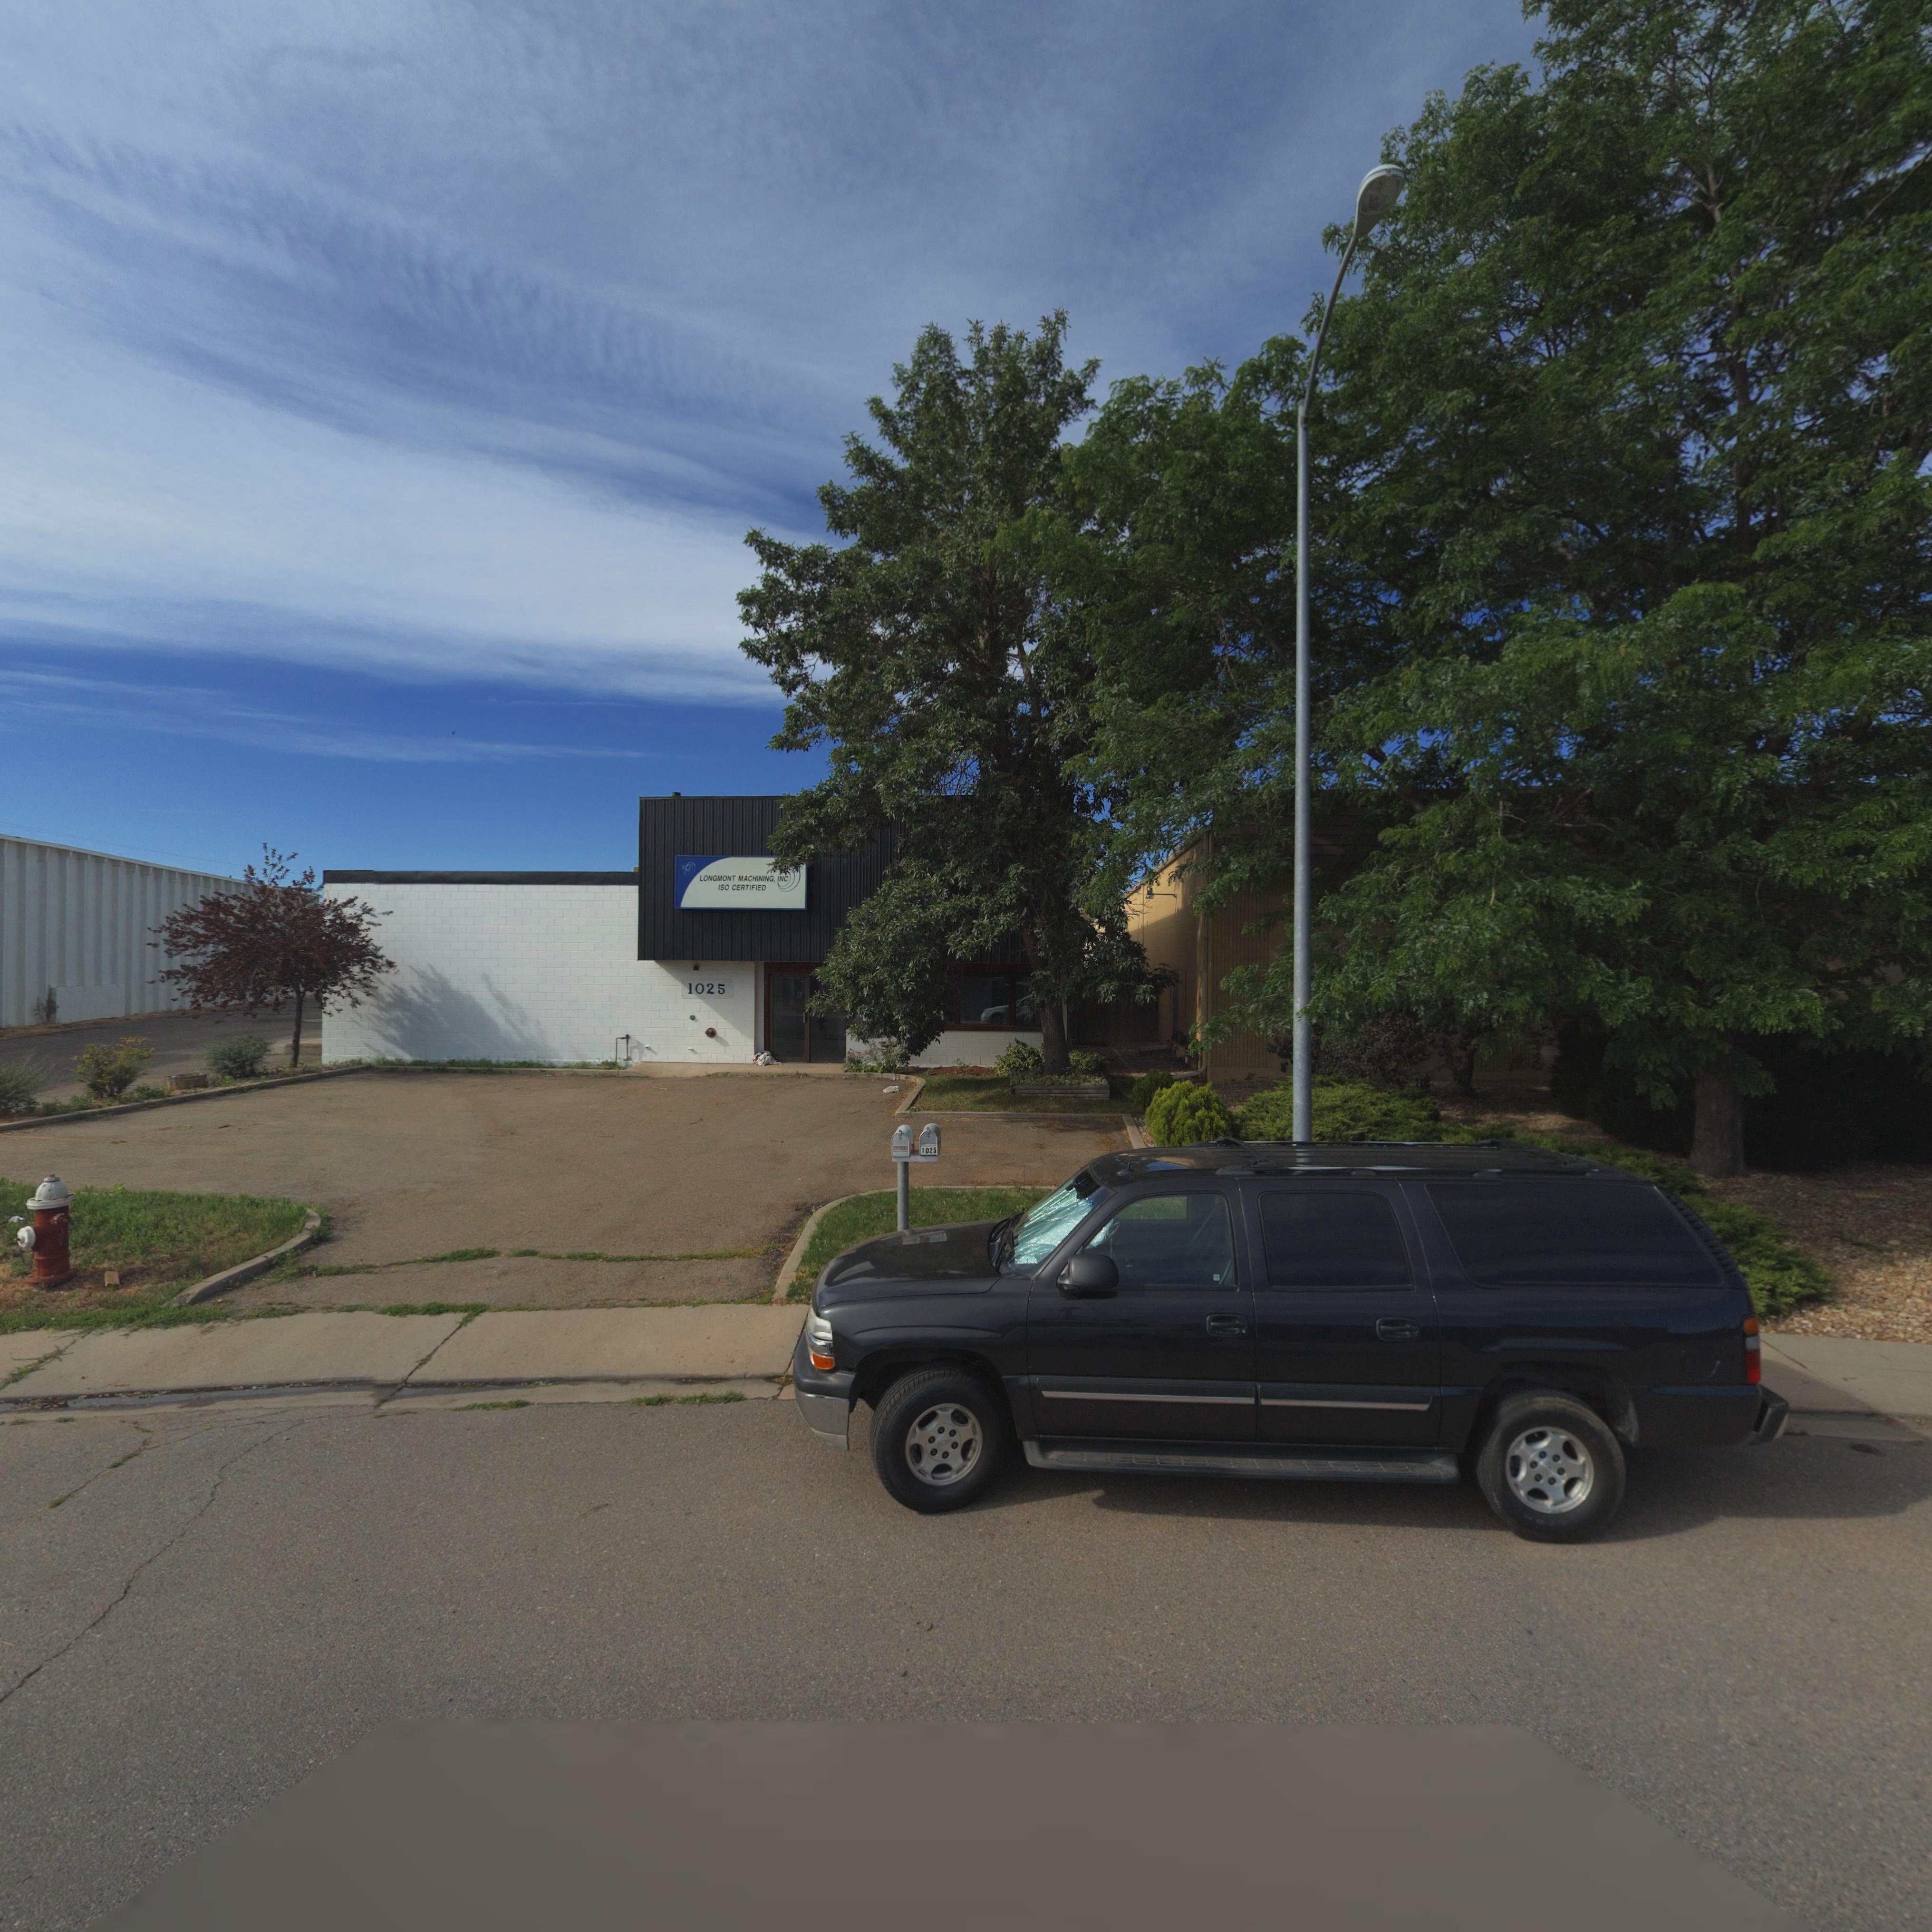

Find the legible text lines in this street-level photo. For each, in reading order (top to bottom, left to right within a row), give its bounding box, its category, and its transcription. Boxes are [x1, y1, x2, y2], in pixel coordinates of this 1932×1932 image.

[699, 874, 789, 883] BusinessName: LONGMONT MACHINING, INC
[717, 884, 766, 890] BusinessName: ISO CERTIFIED
[687, 983, 725, 995] StreetNumber: 1025
[921, 1147, 937, 1154] StreetNumber: 1025